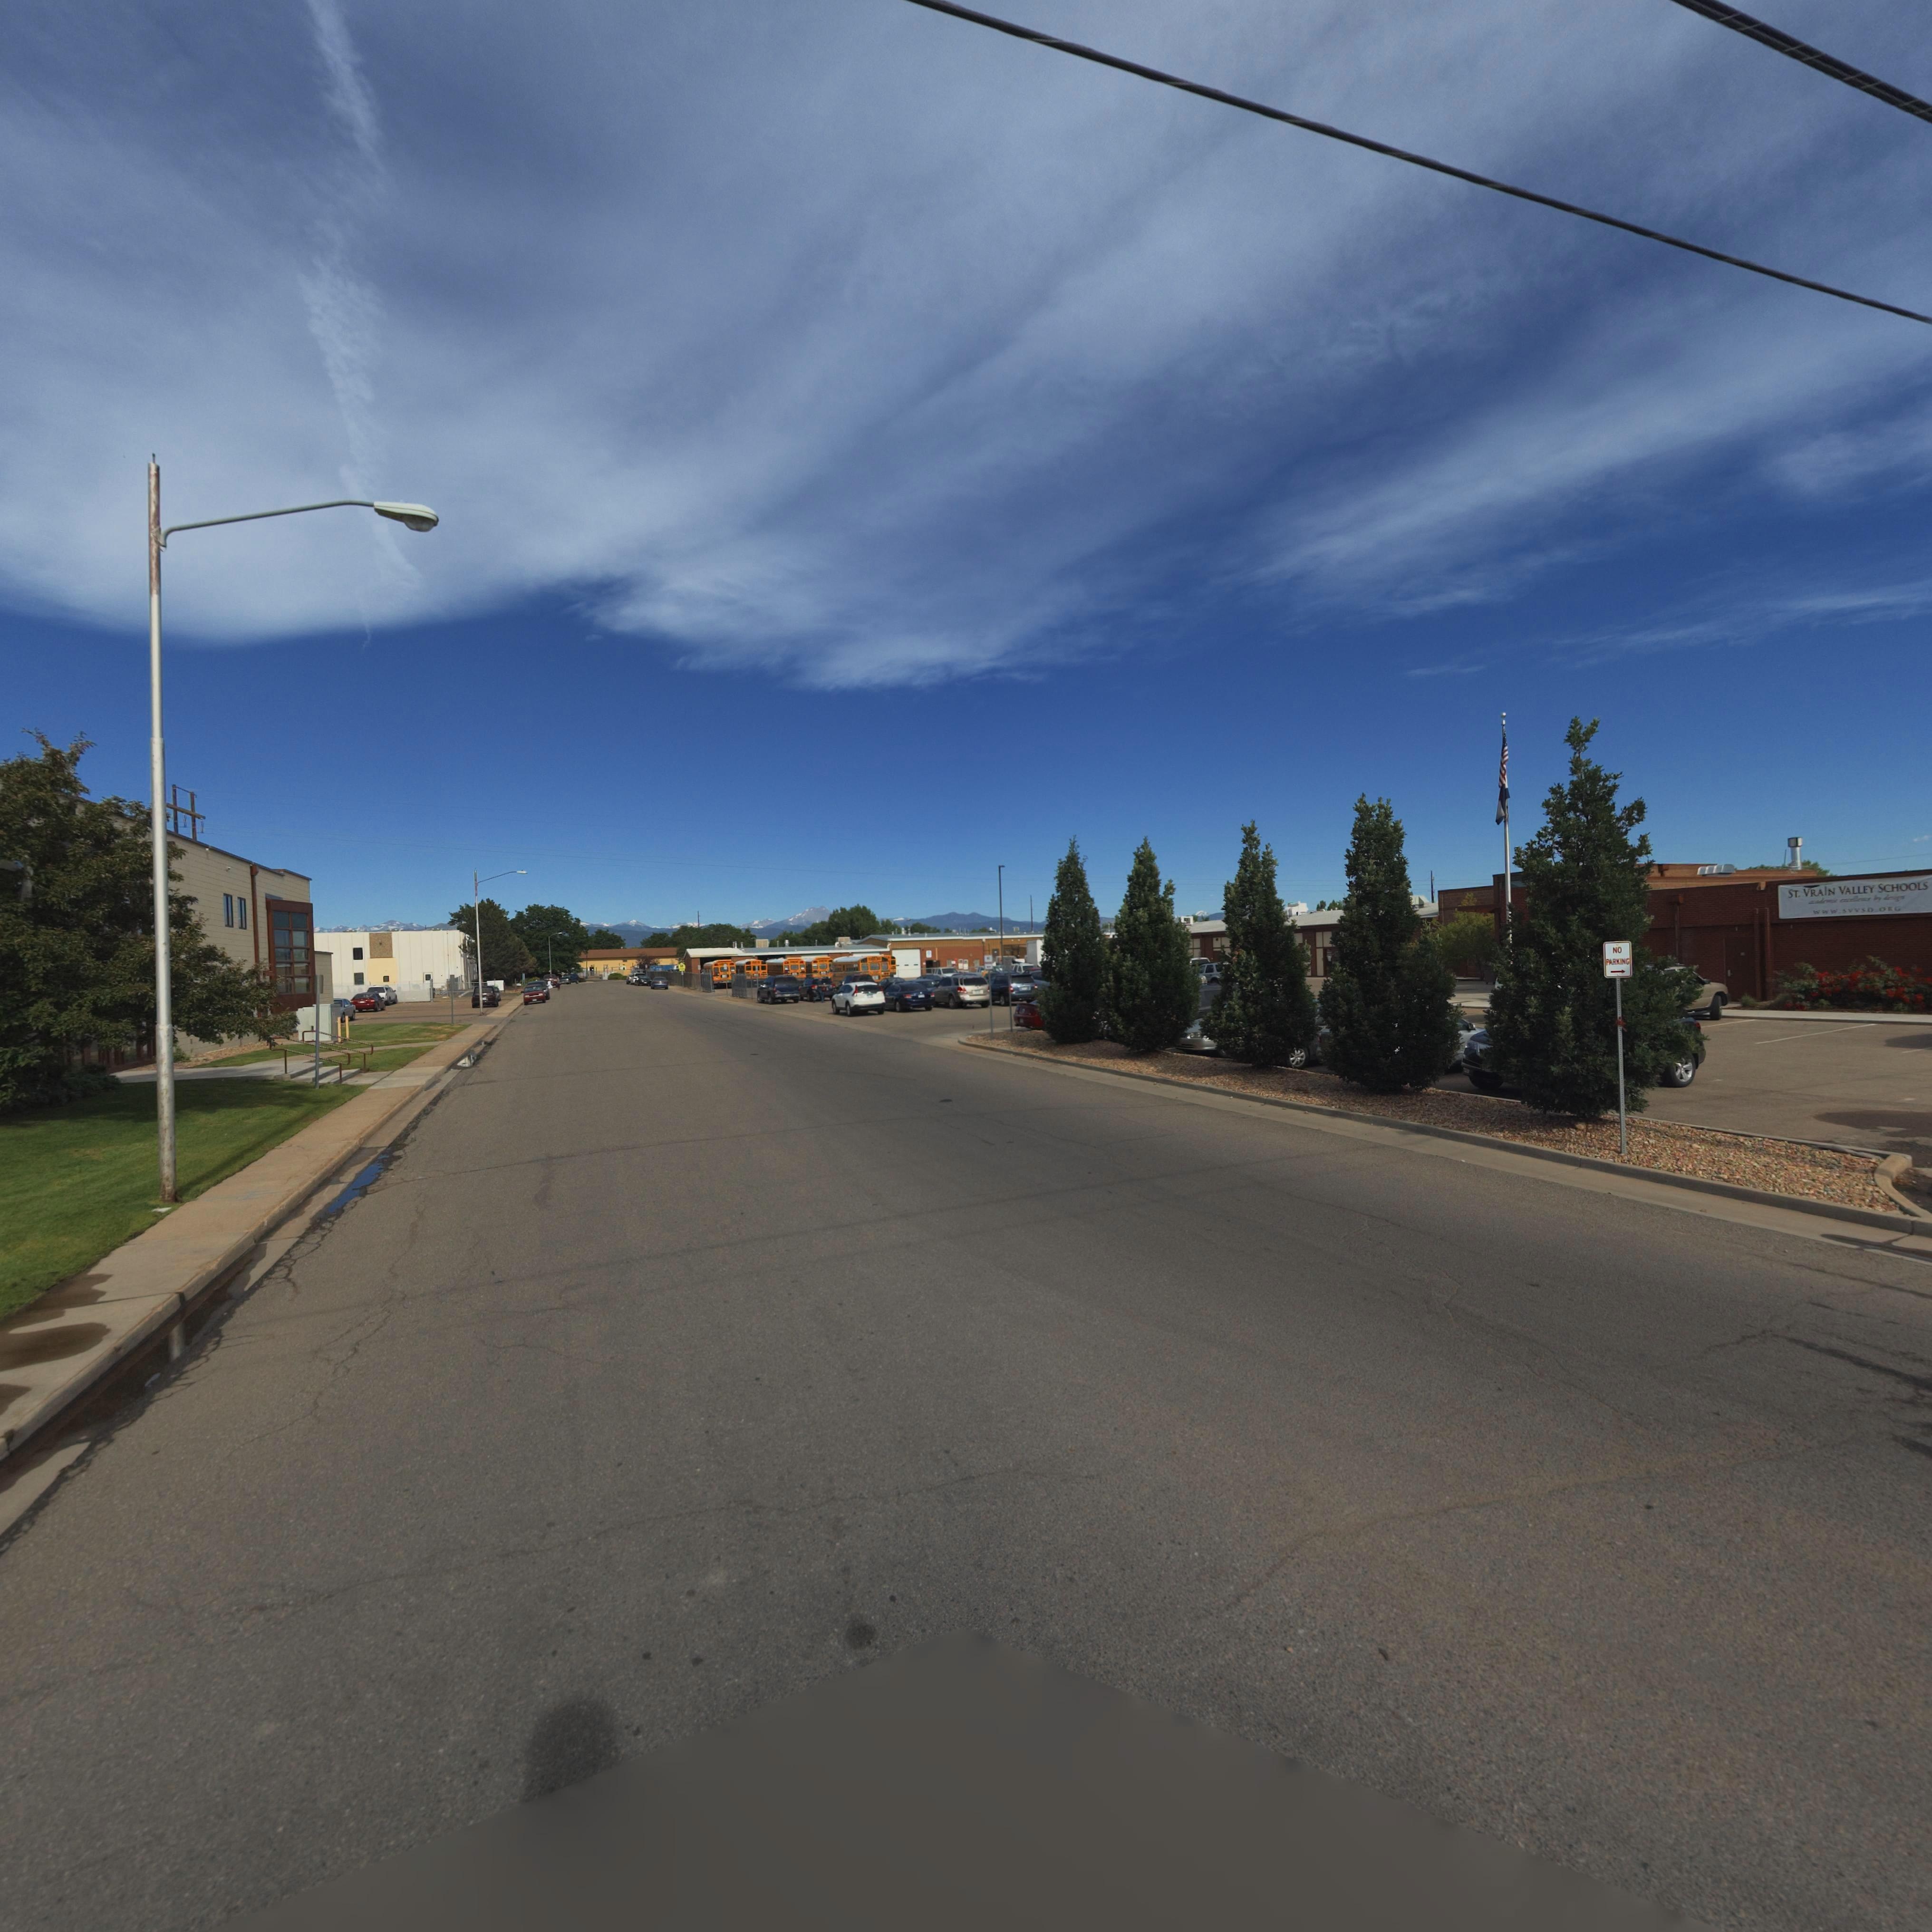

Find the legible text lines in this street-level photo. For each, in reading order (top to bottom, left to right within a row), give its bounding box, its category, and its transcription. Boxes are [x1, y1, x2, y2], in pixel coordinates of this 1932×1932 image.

[1787, 881, 1929, 898] BusinessName: ST. VRAIN VALLEY SCHOOLS